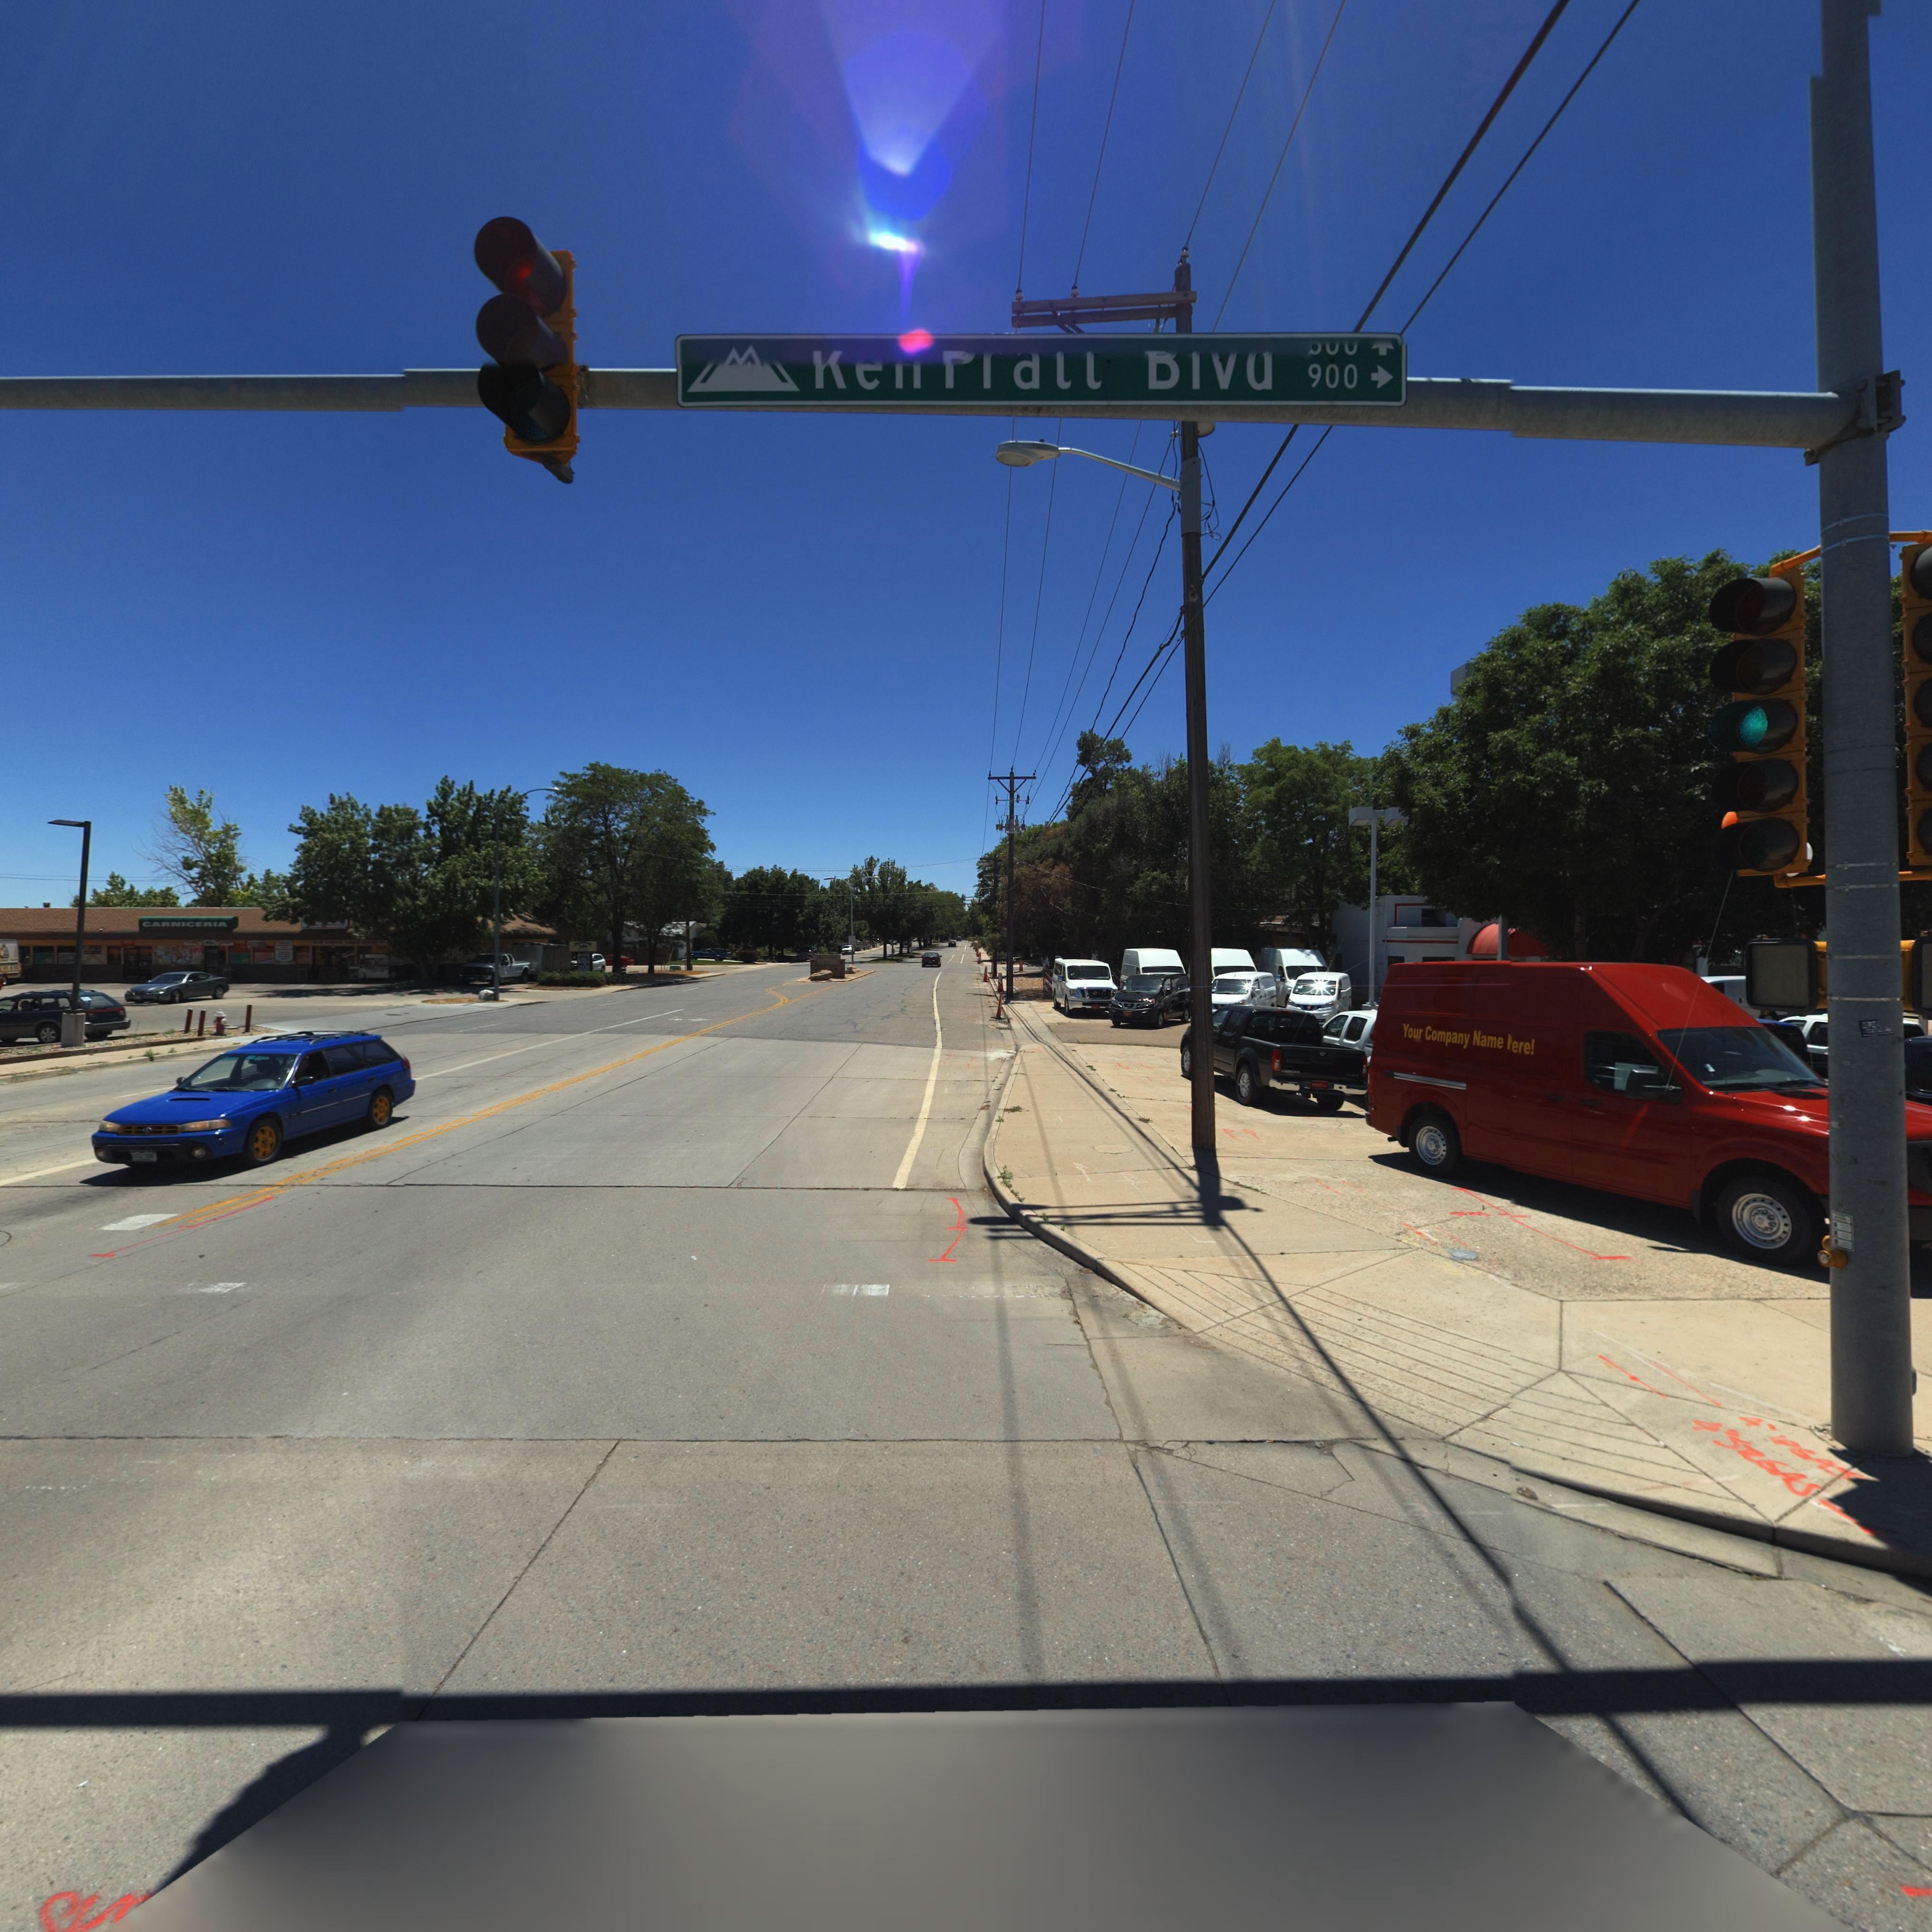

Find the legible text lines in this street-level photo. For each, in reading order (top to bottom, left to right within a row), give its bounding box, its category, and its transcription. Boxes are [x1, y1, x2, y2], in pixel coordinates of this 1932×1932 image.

[811, 345, 1277, 393] StreetName: Ke* ***** *lv*
[1307, 360, 1398, 391] StreetNumberRange: 900->
[141, 921, 228, 927] BusinessName: CARNICERIA